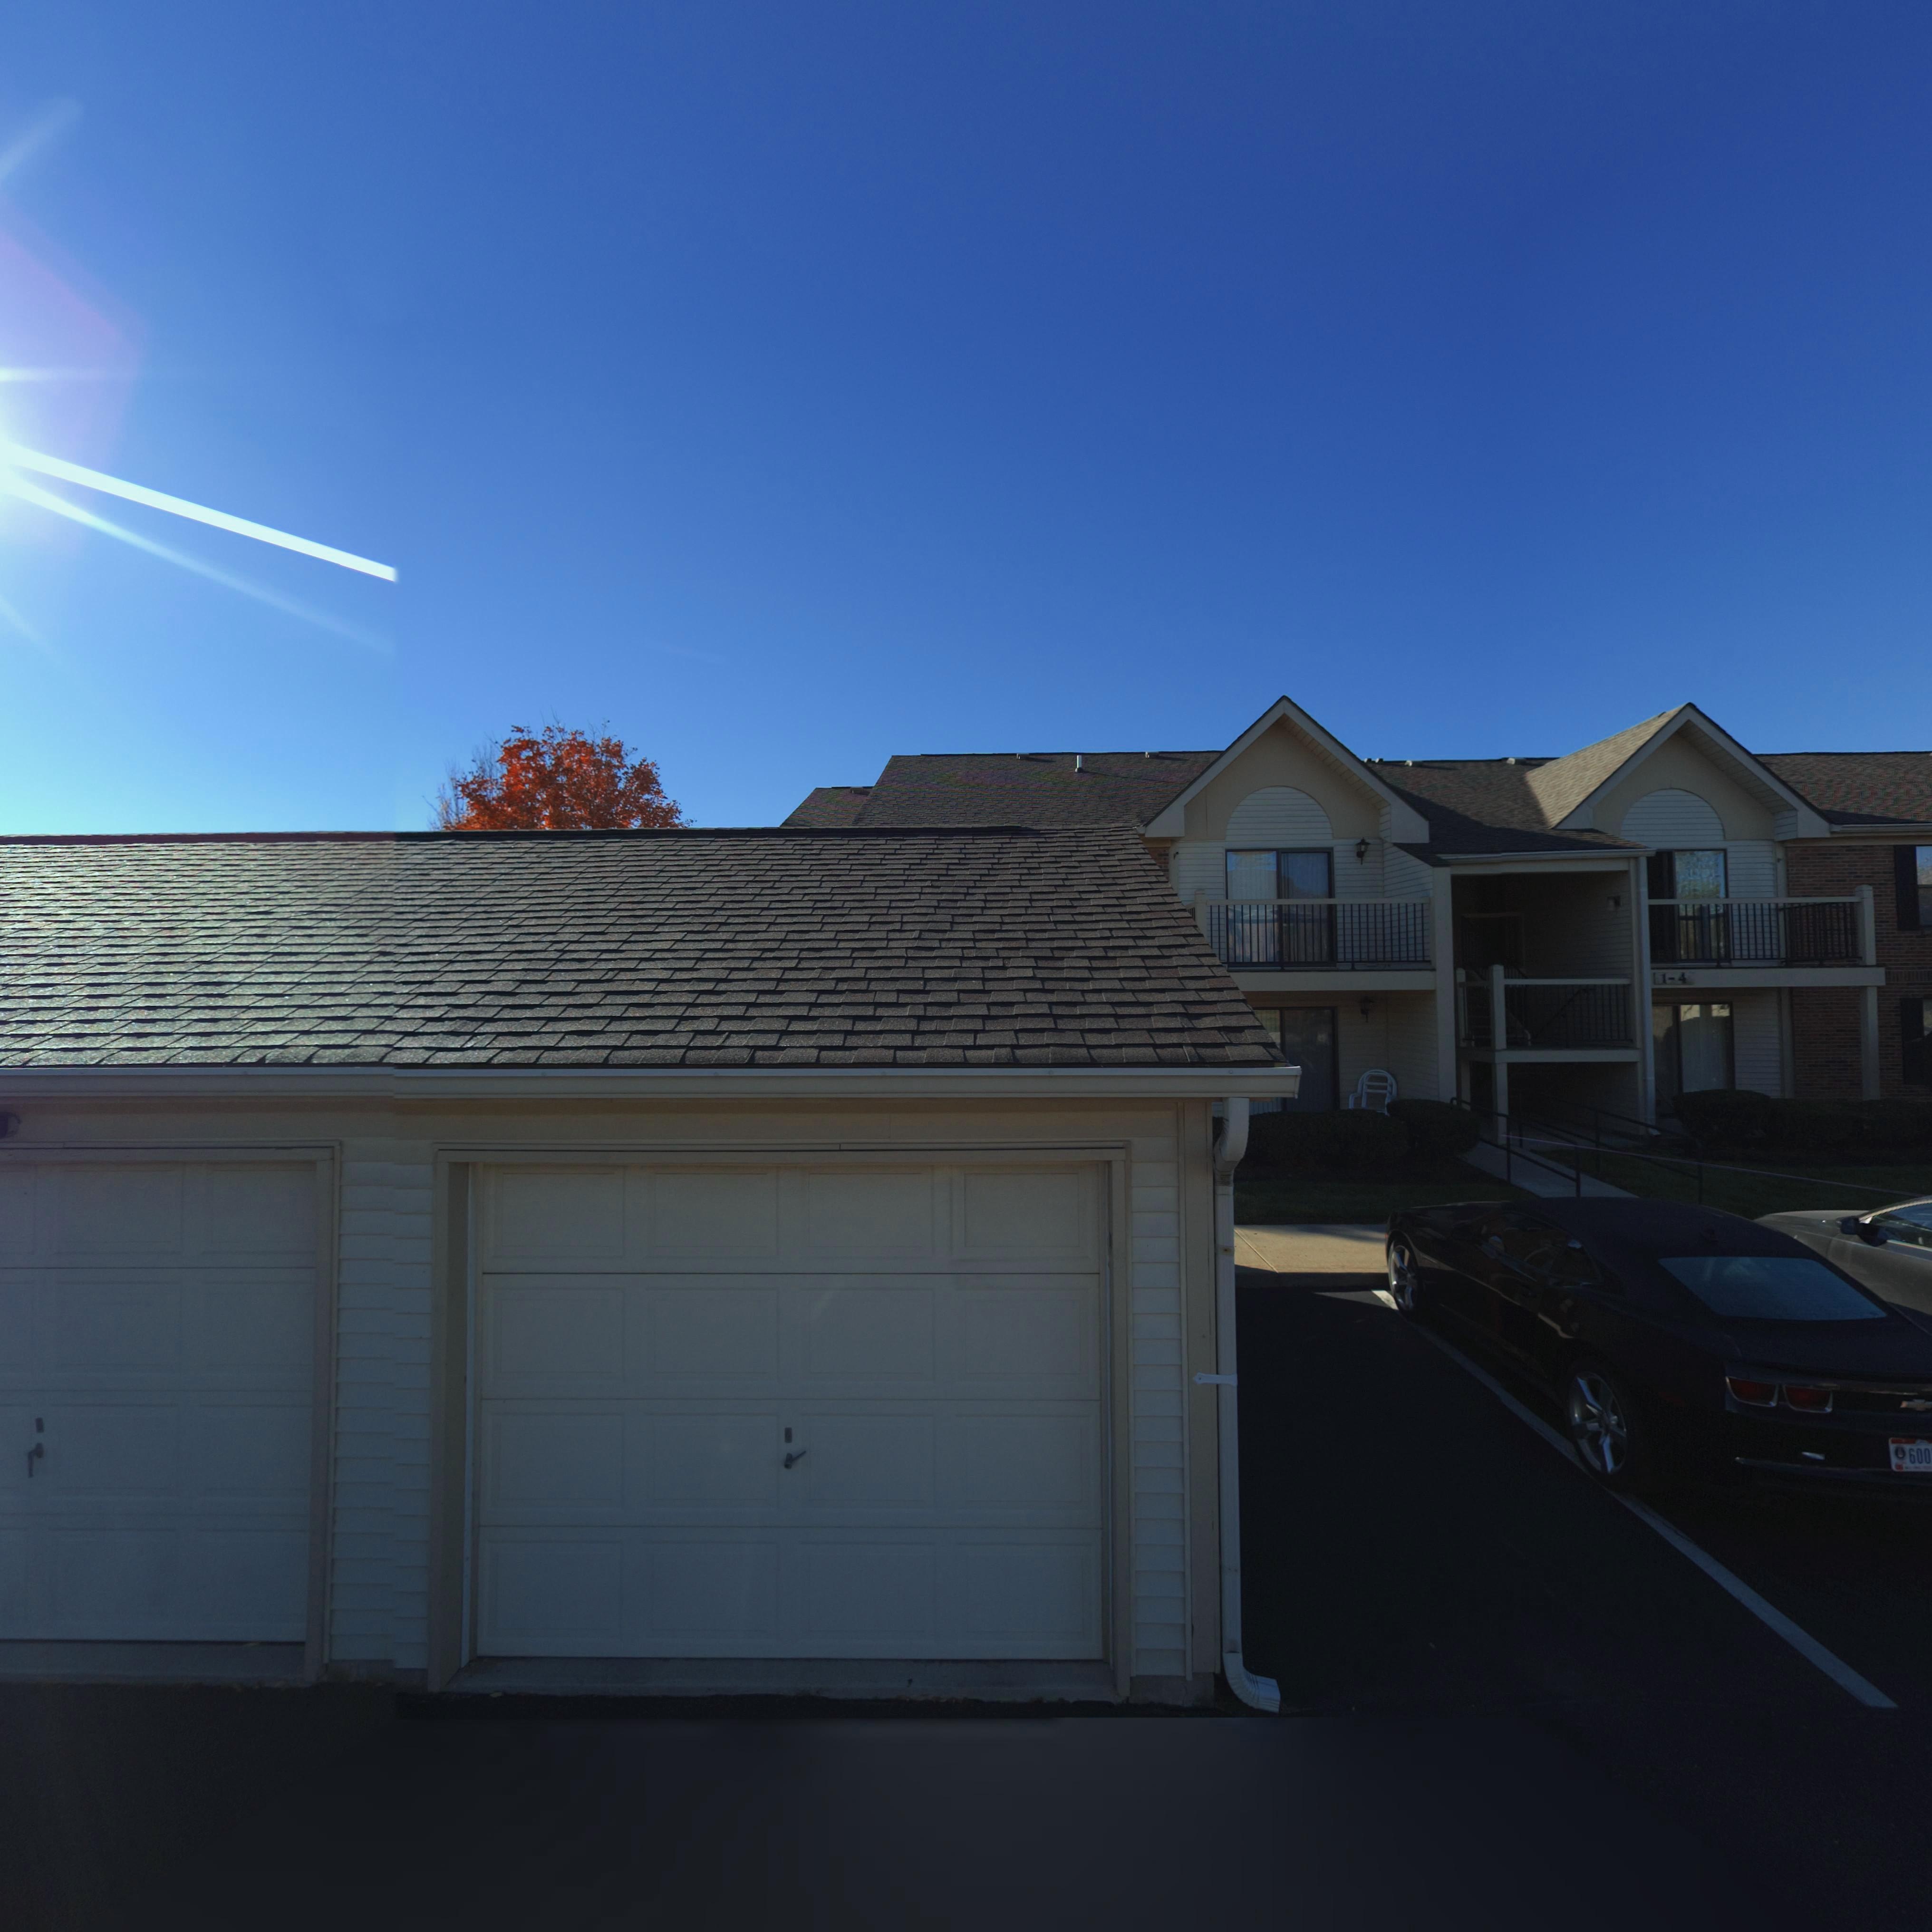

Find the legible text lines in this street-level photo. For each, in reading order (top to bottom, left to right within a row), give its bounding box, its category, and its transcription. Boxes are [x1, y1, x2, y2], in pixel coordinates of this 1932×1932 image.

[1660, 972, 1687, 985] StreetNumber: 1-4